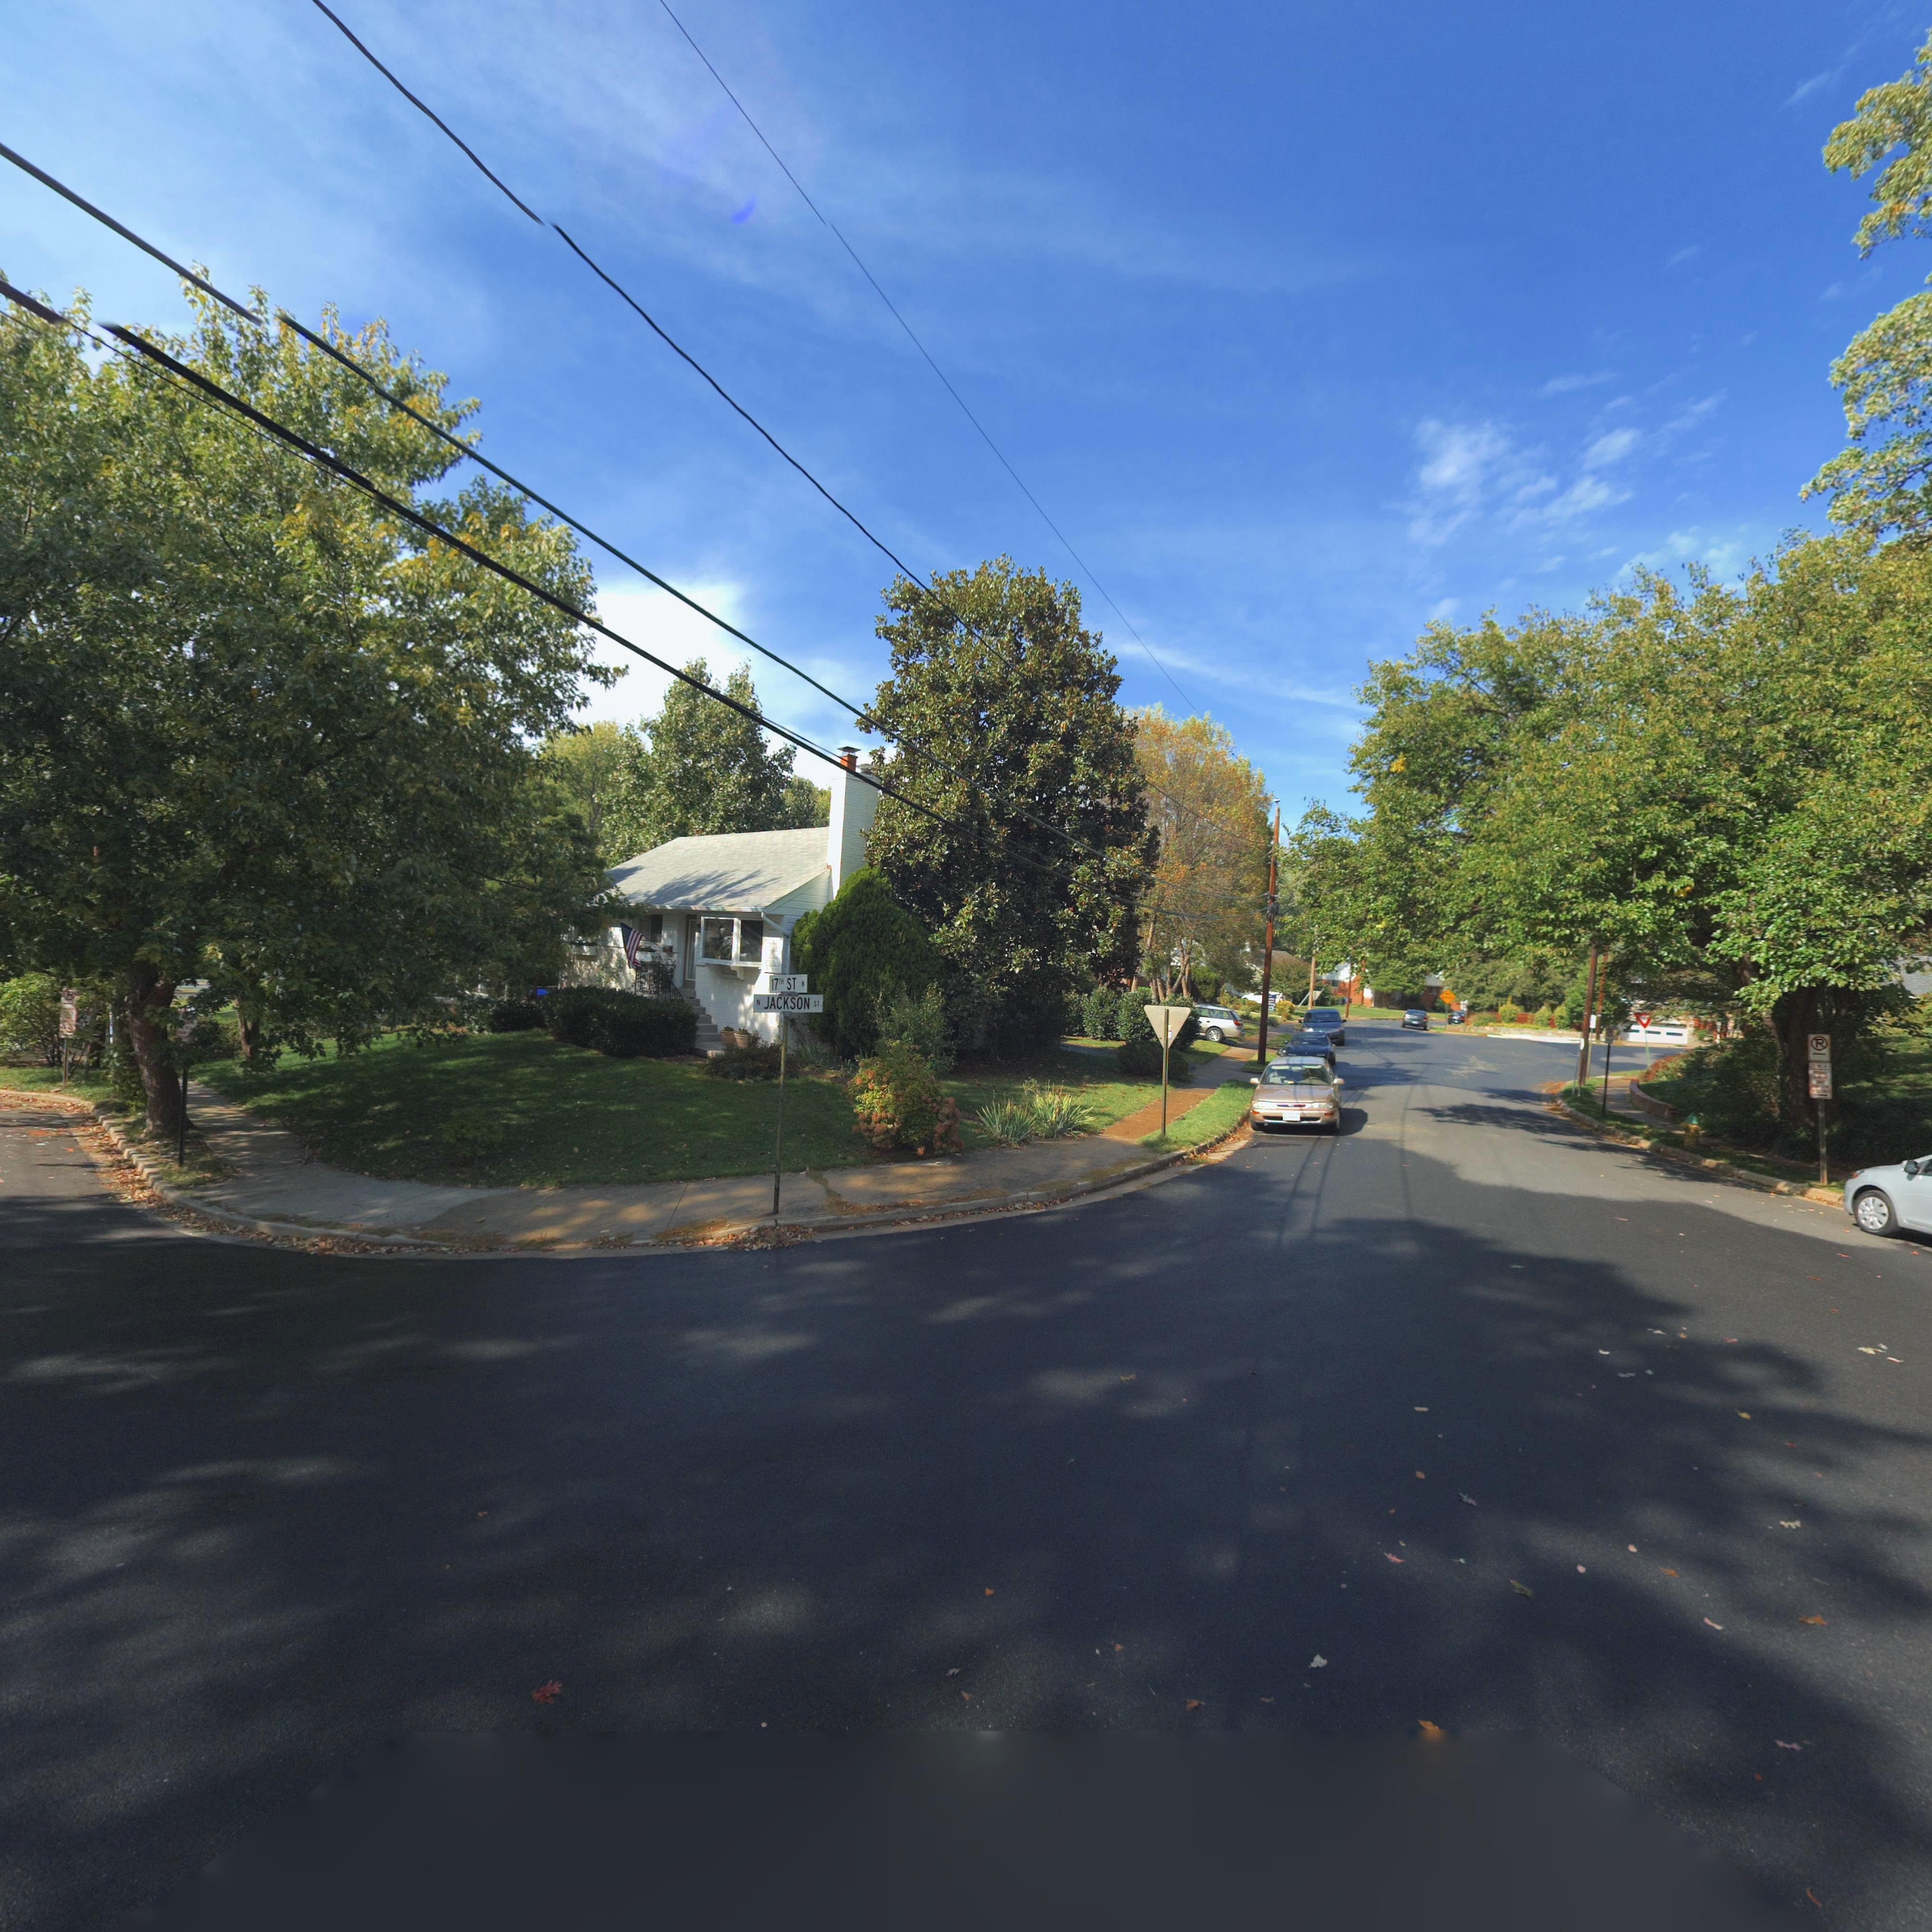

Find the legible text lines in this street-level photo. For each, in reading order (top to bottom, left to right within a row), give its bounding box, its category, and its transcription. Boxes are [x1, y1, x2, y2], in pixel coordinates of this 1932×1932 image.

[770, 976, 807, 992] StreetName: 17TH ST N
[754, 995, 822, 1012] StreetName: N JACKSON ST